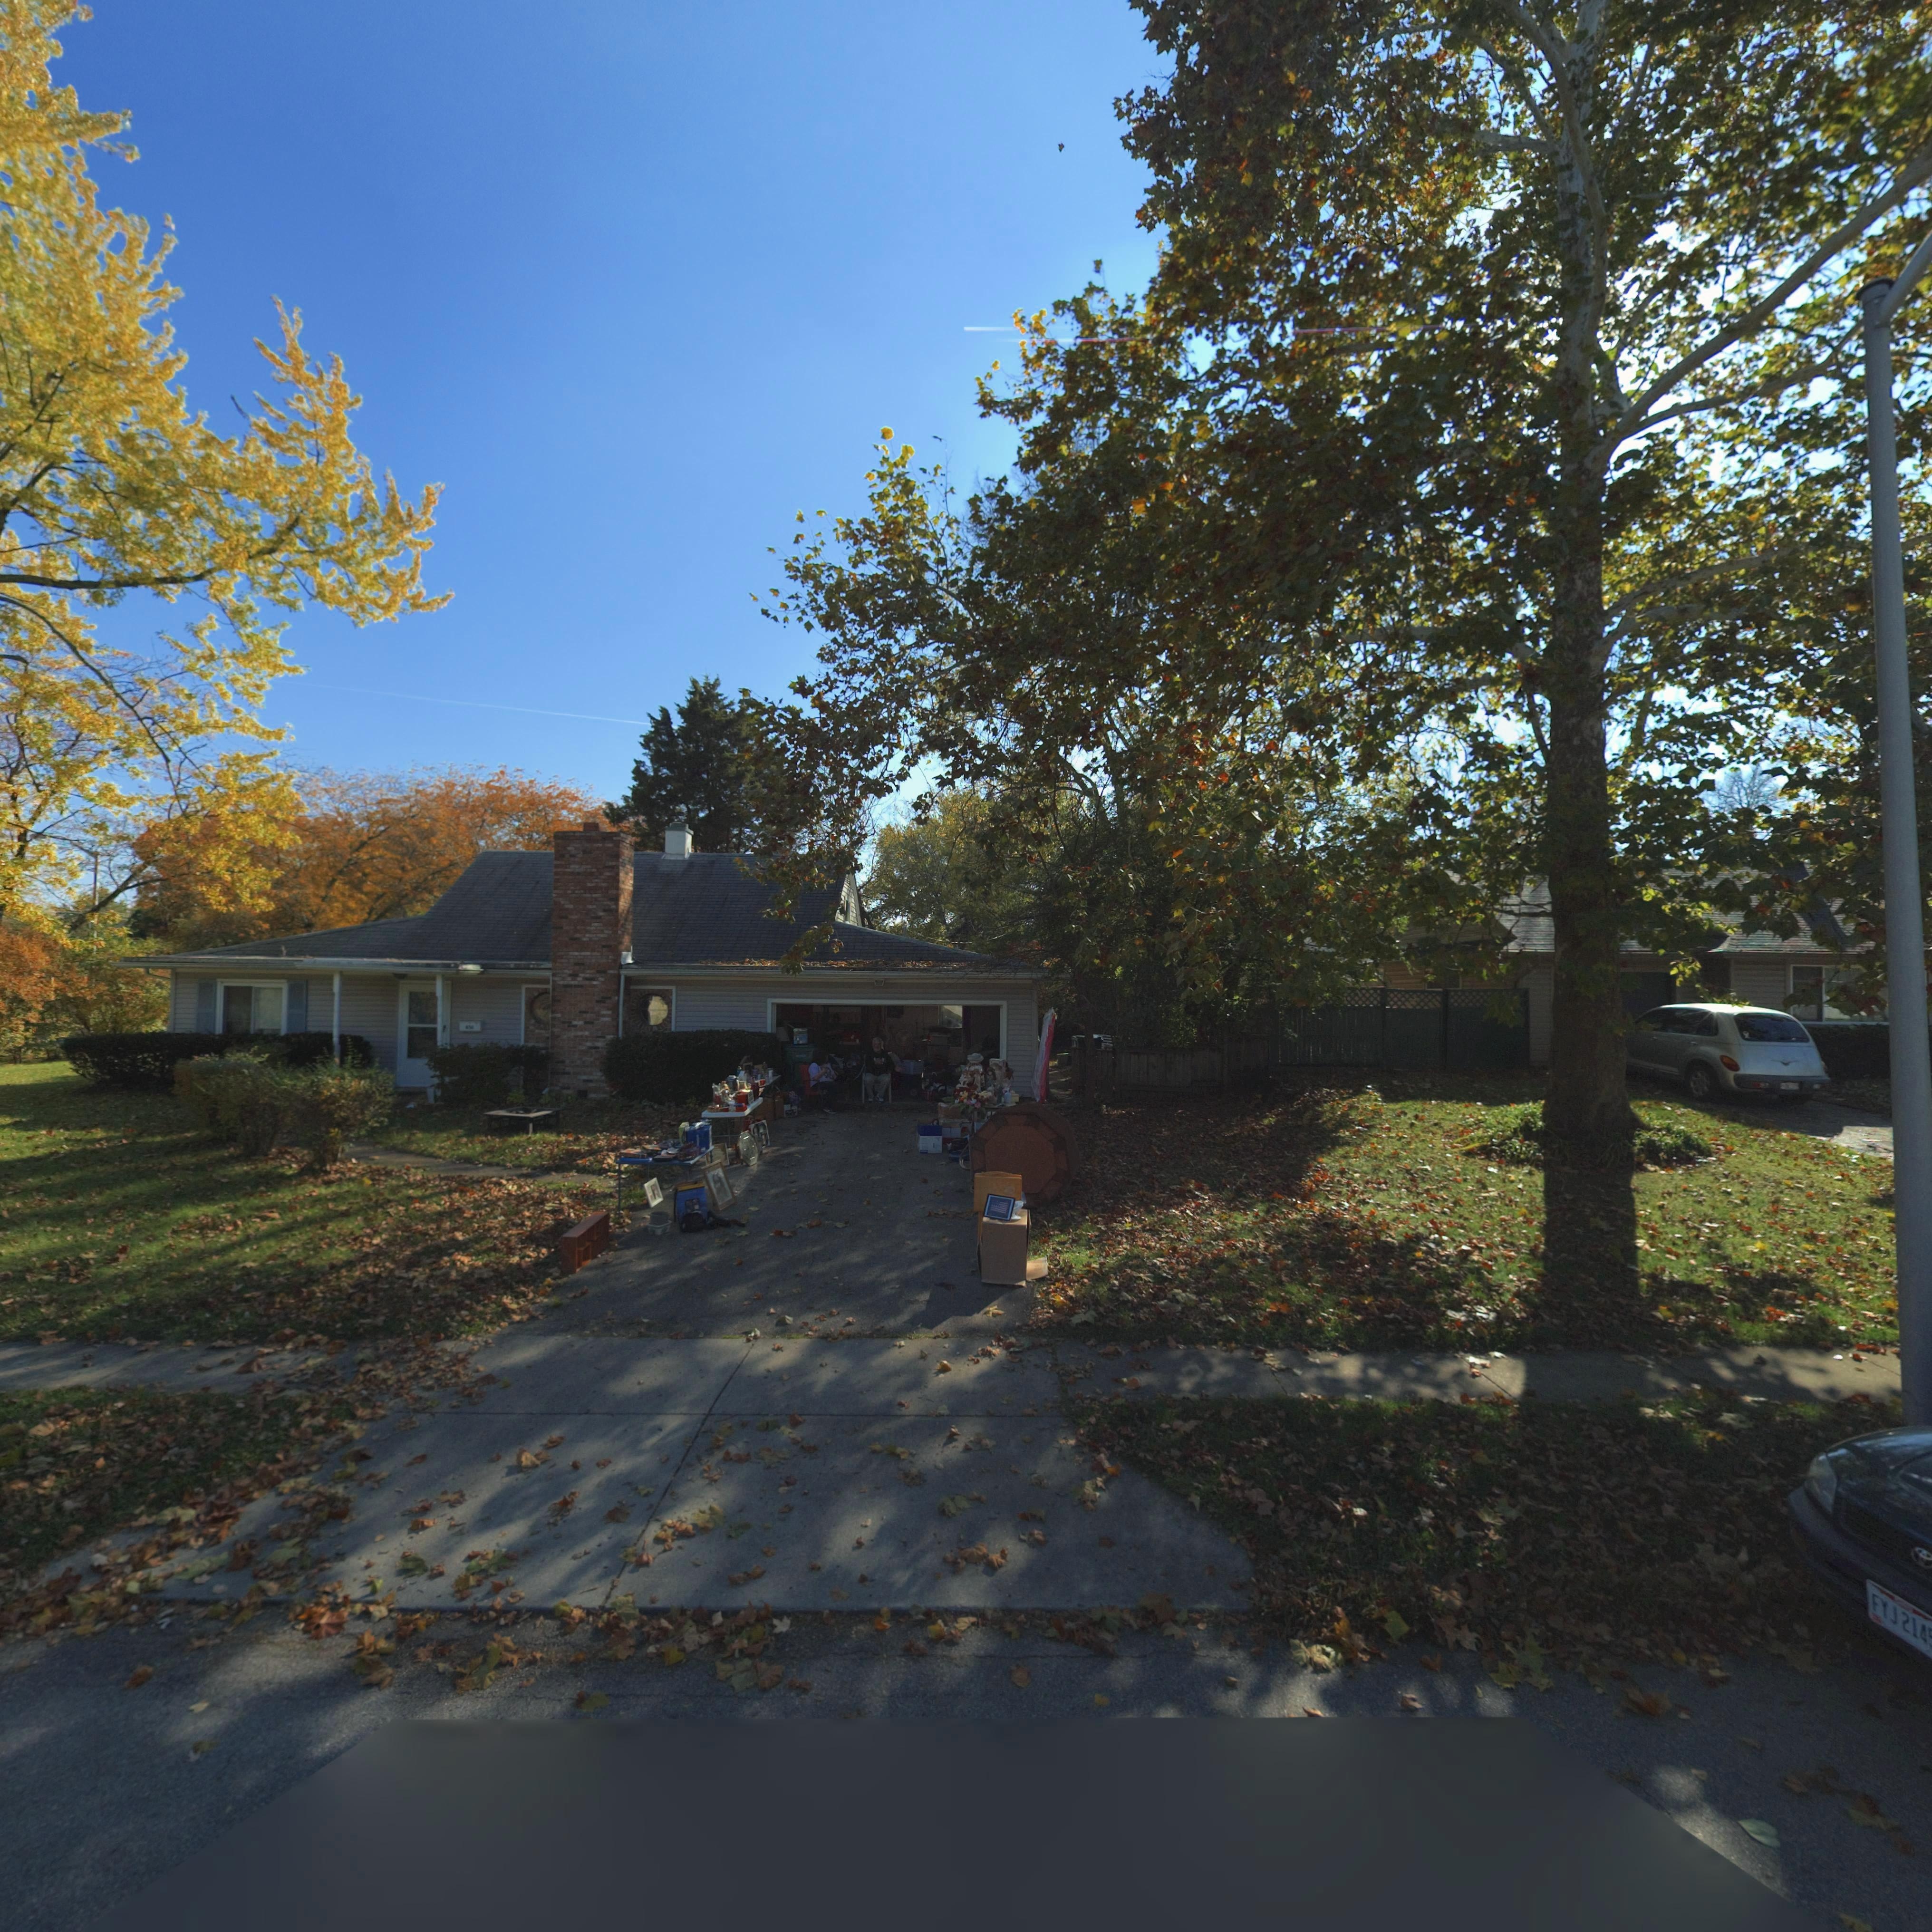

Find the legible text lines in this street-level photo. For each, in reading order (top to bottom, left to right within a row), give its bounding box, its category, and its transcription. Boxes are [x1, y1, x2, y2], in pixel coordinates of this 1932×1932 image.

[464, 1025, 474, 1030] StreetNumber: *5*
[1871, 1592, 1928, 1646] None: FYJ*214